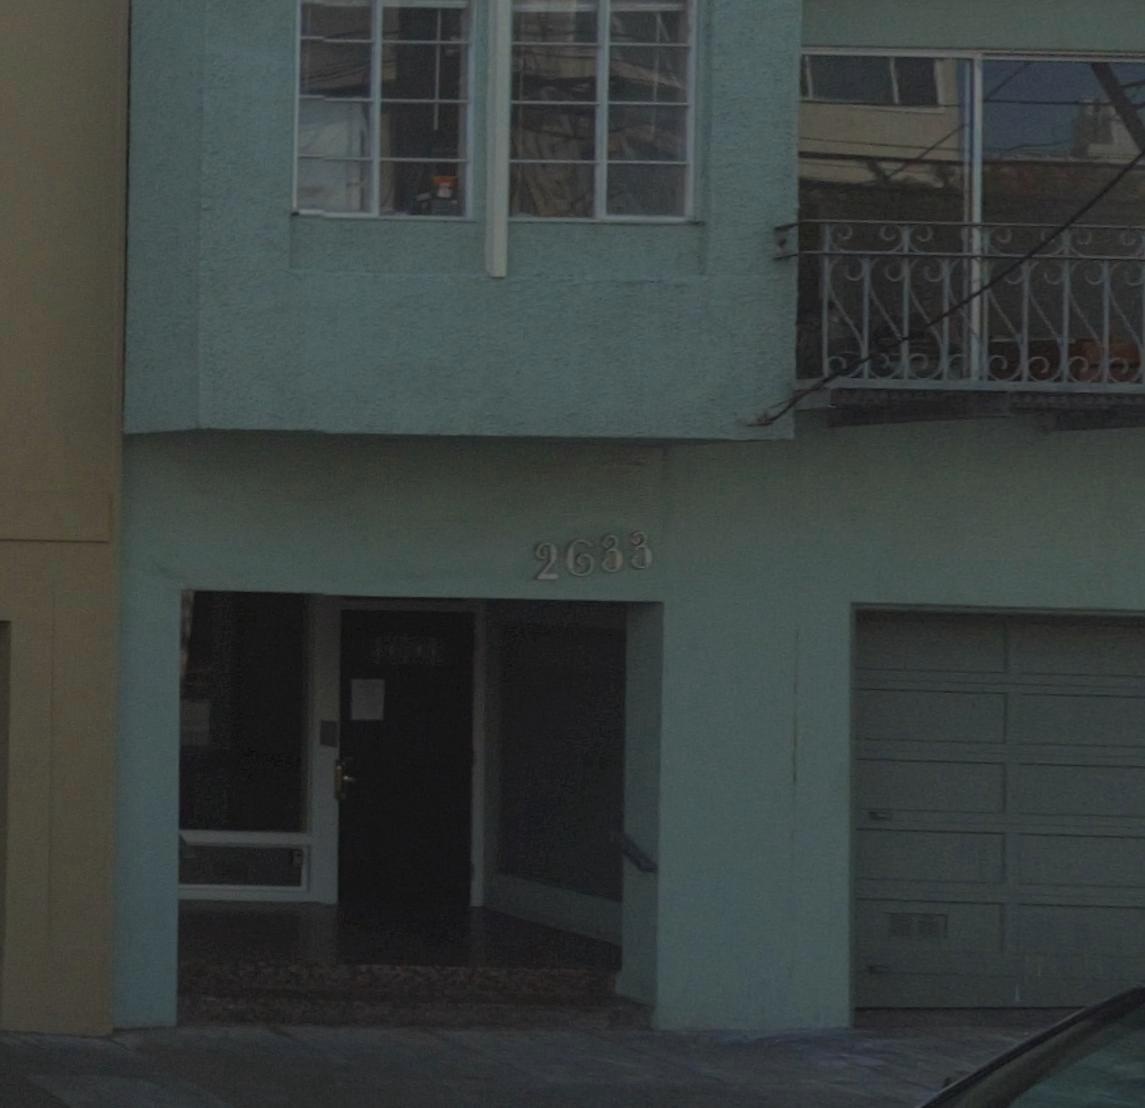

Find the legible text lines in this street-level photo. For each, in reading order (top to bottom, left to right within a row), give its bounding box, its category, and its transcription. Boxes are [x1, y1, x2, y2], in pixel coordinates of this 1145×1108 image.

[531, 526, 655, 583] StreetNumber: 2633